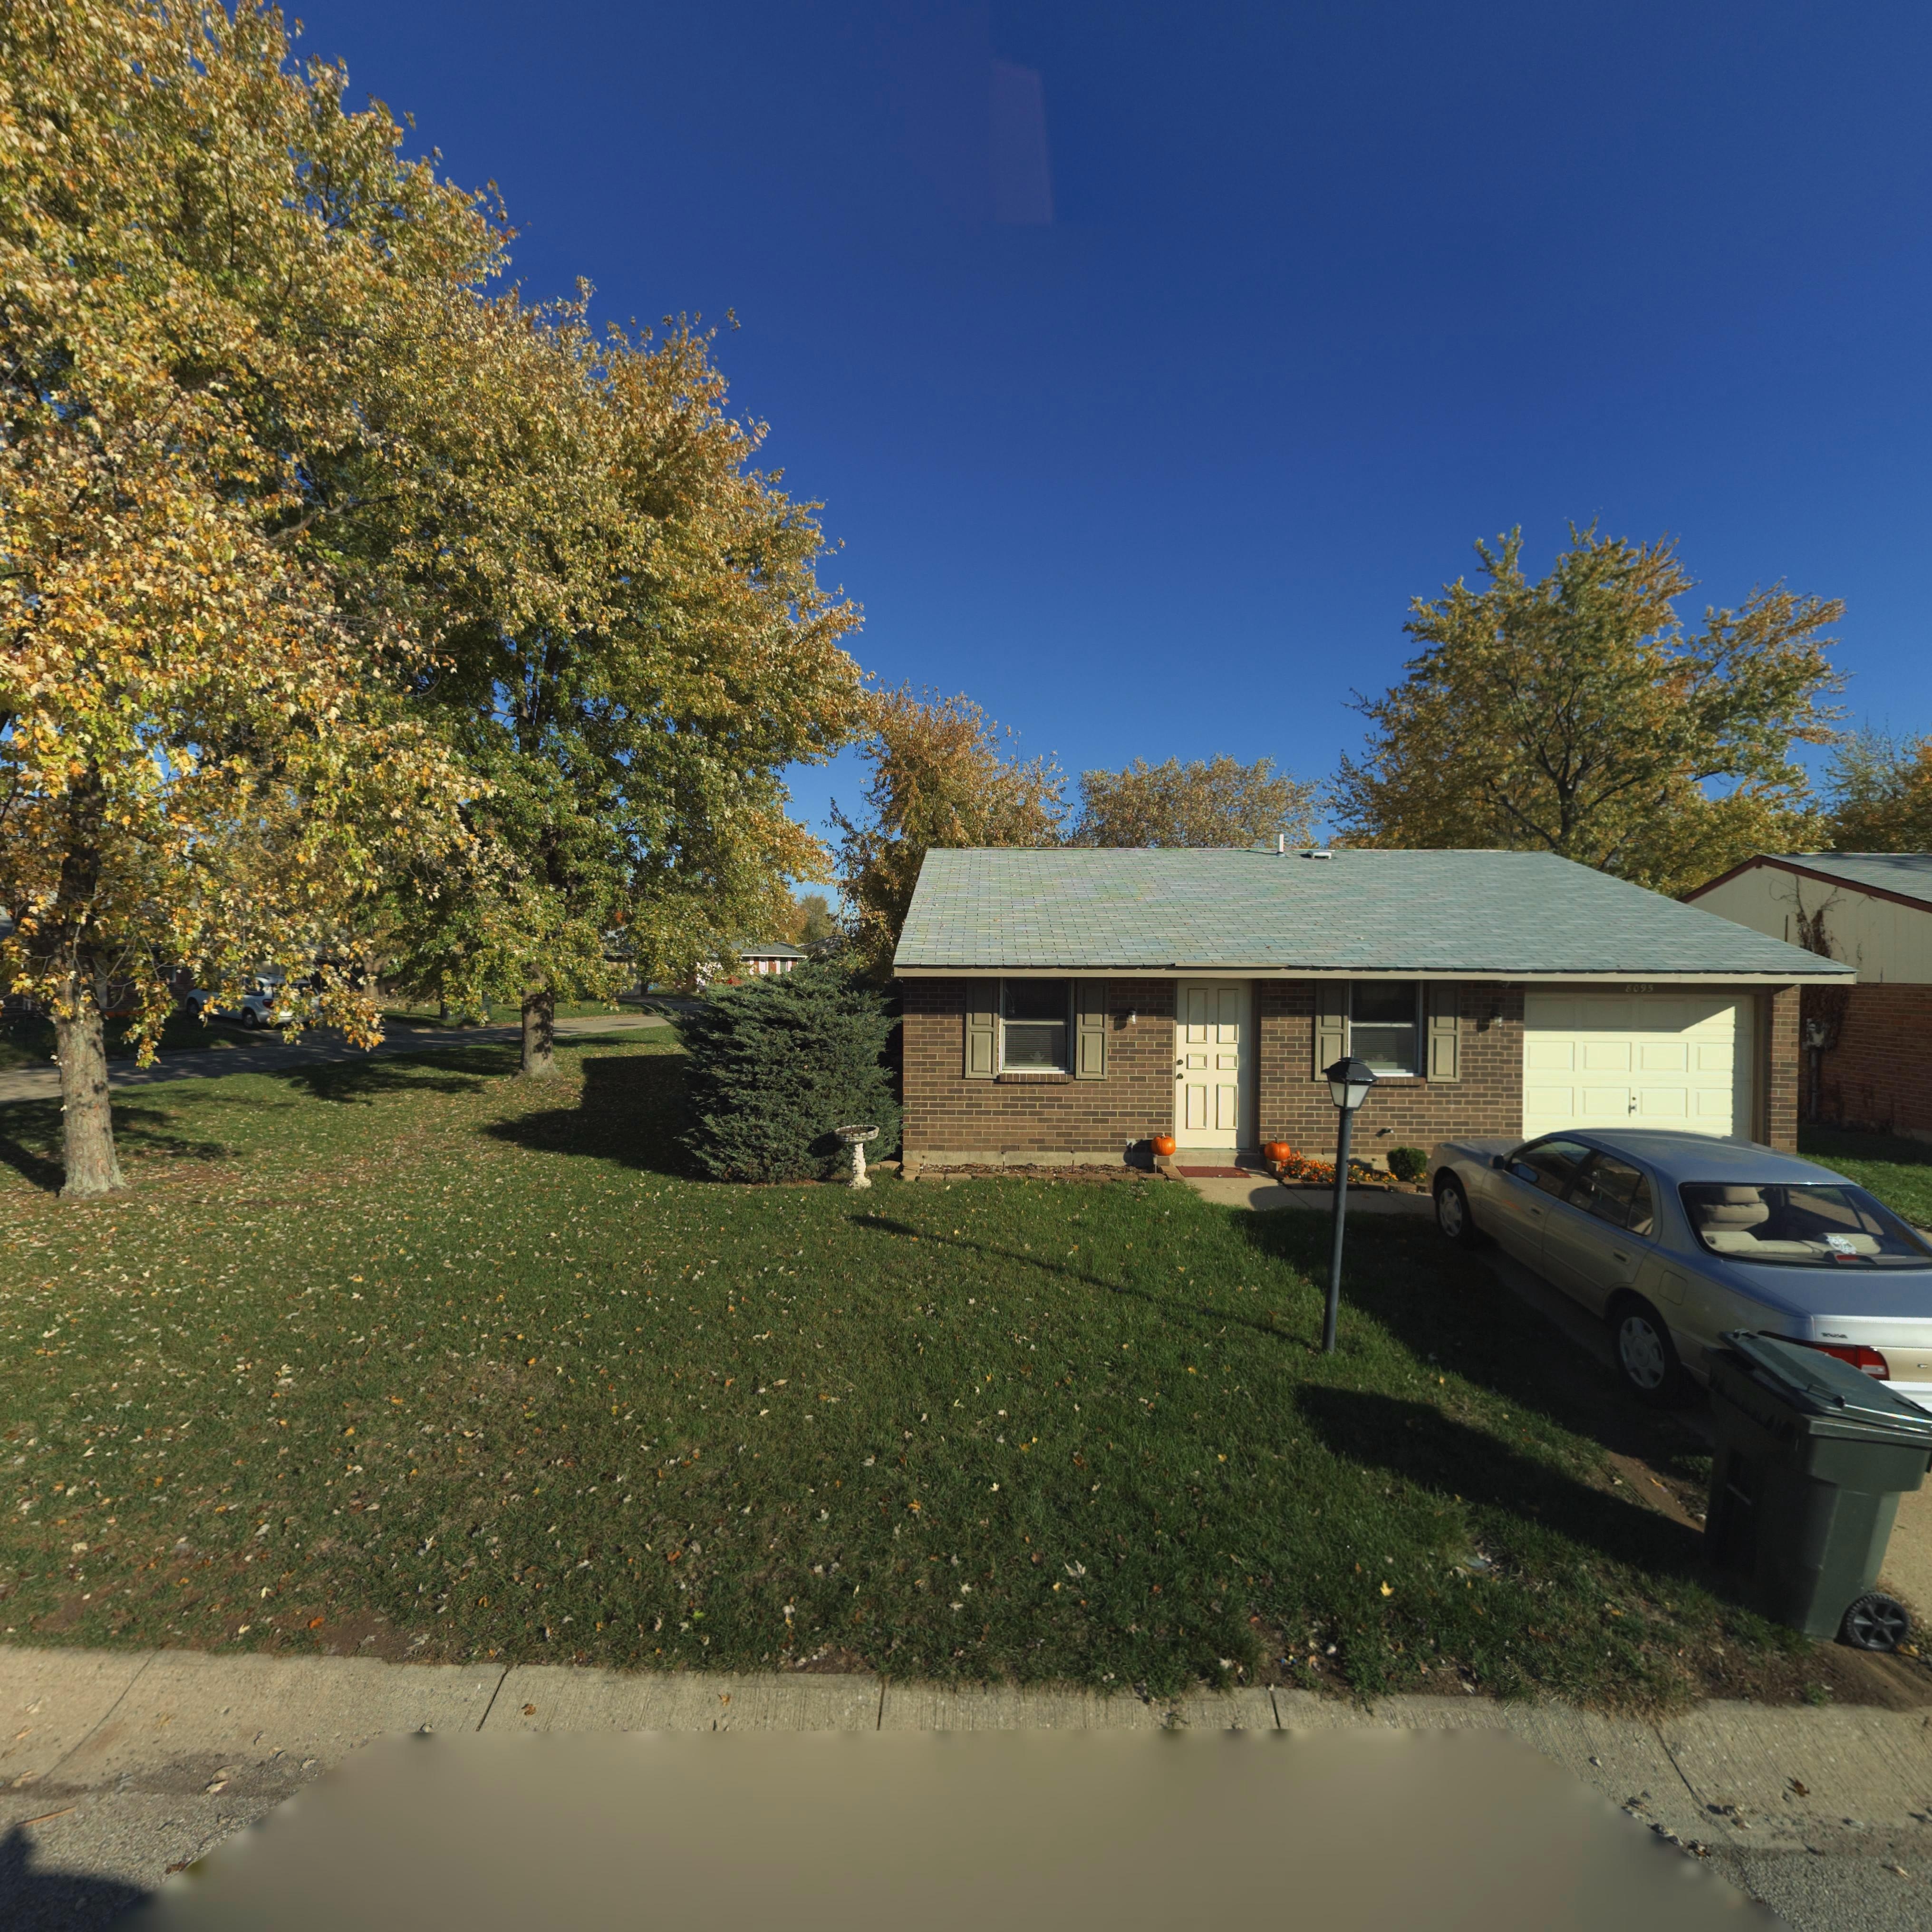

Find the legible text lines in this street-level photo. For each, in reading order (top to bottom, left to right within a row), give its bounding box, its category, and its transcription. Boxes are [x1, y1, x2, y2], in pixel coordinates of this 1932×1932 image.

[1623, 983, 1655, 994] StreetNumber: 8095